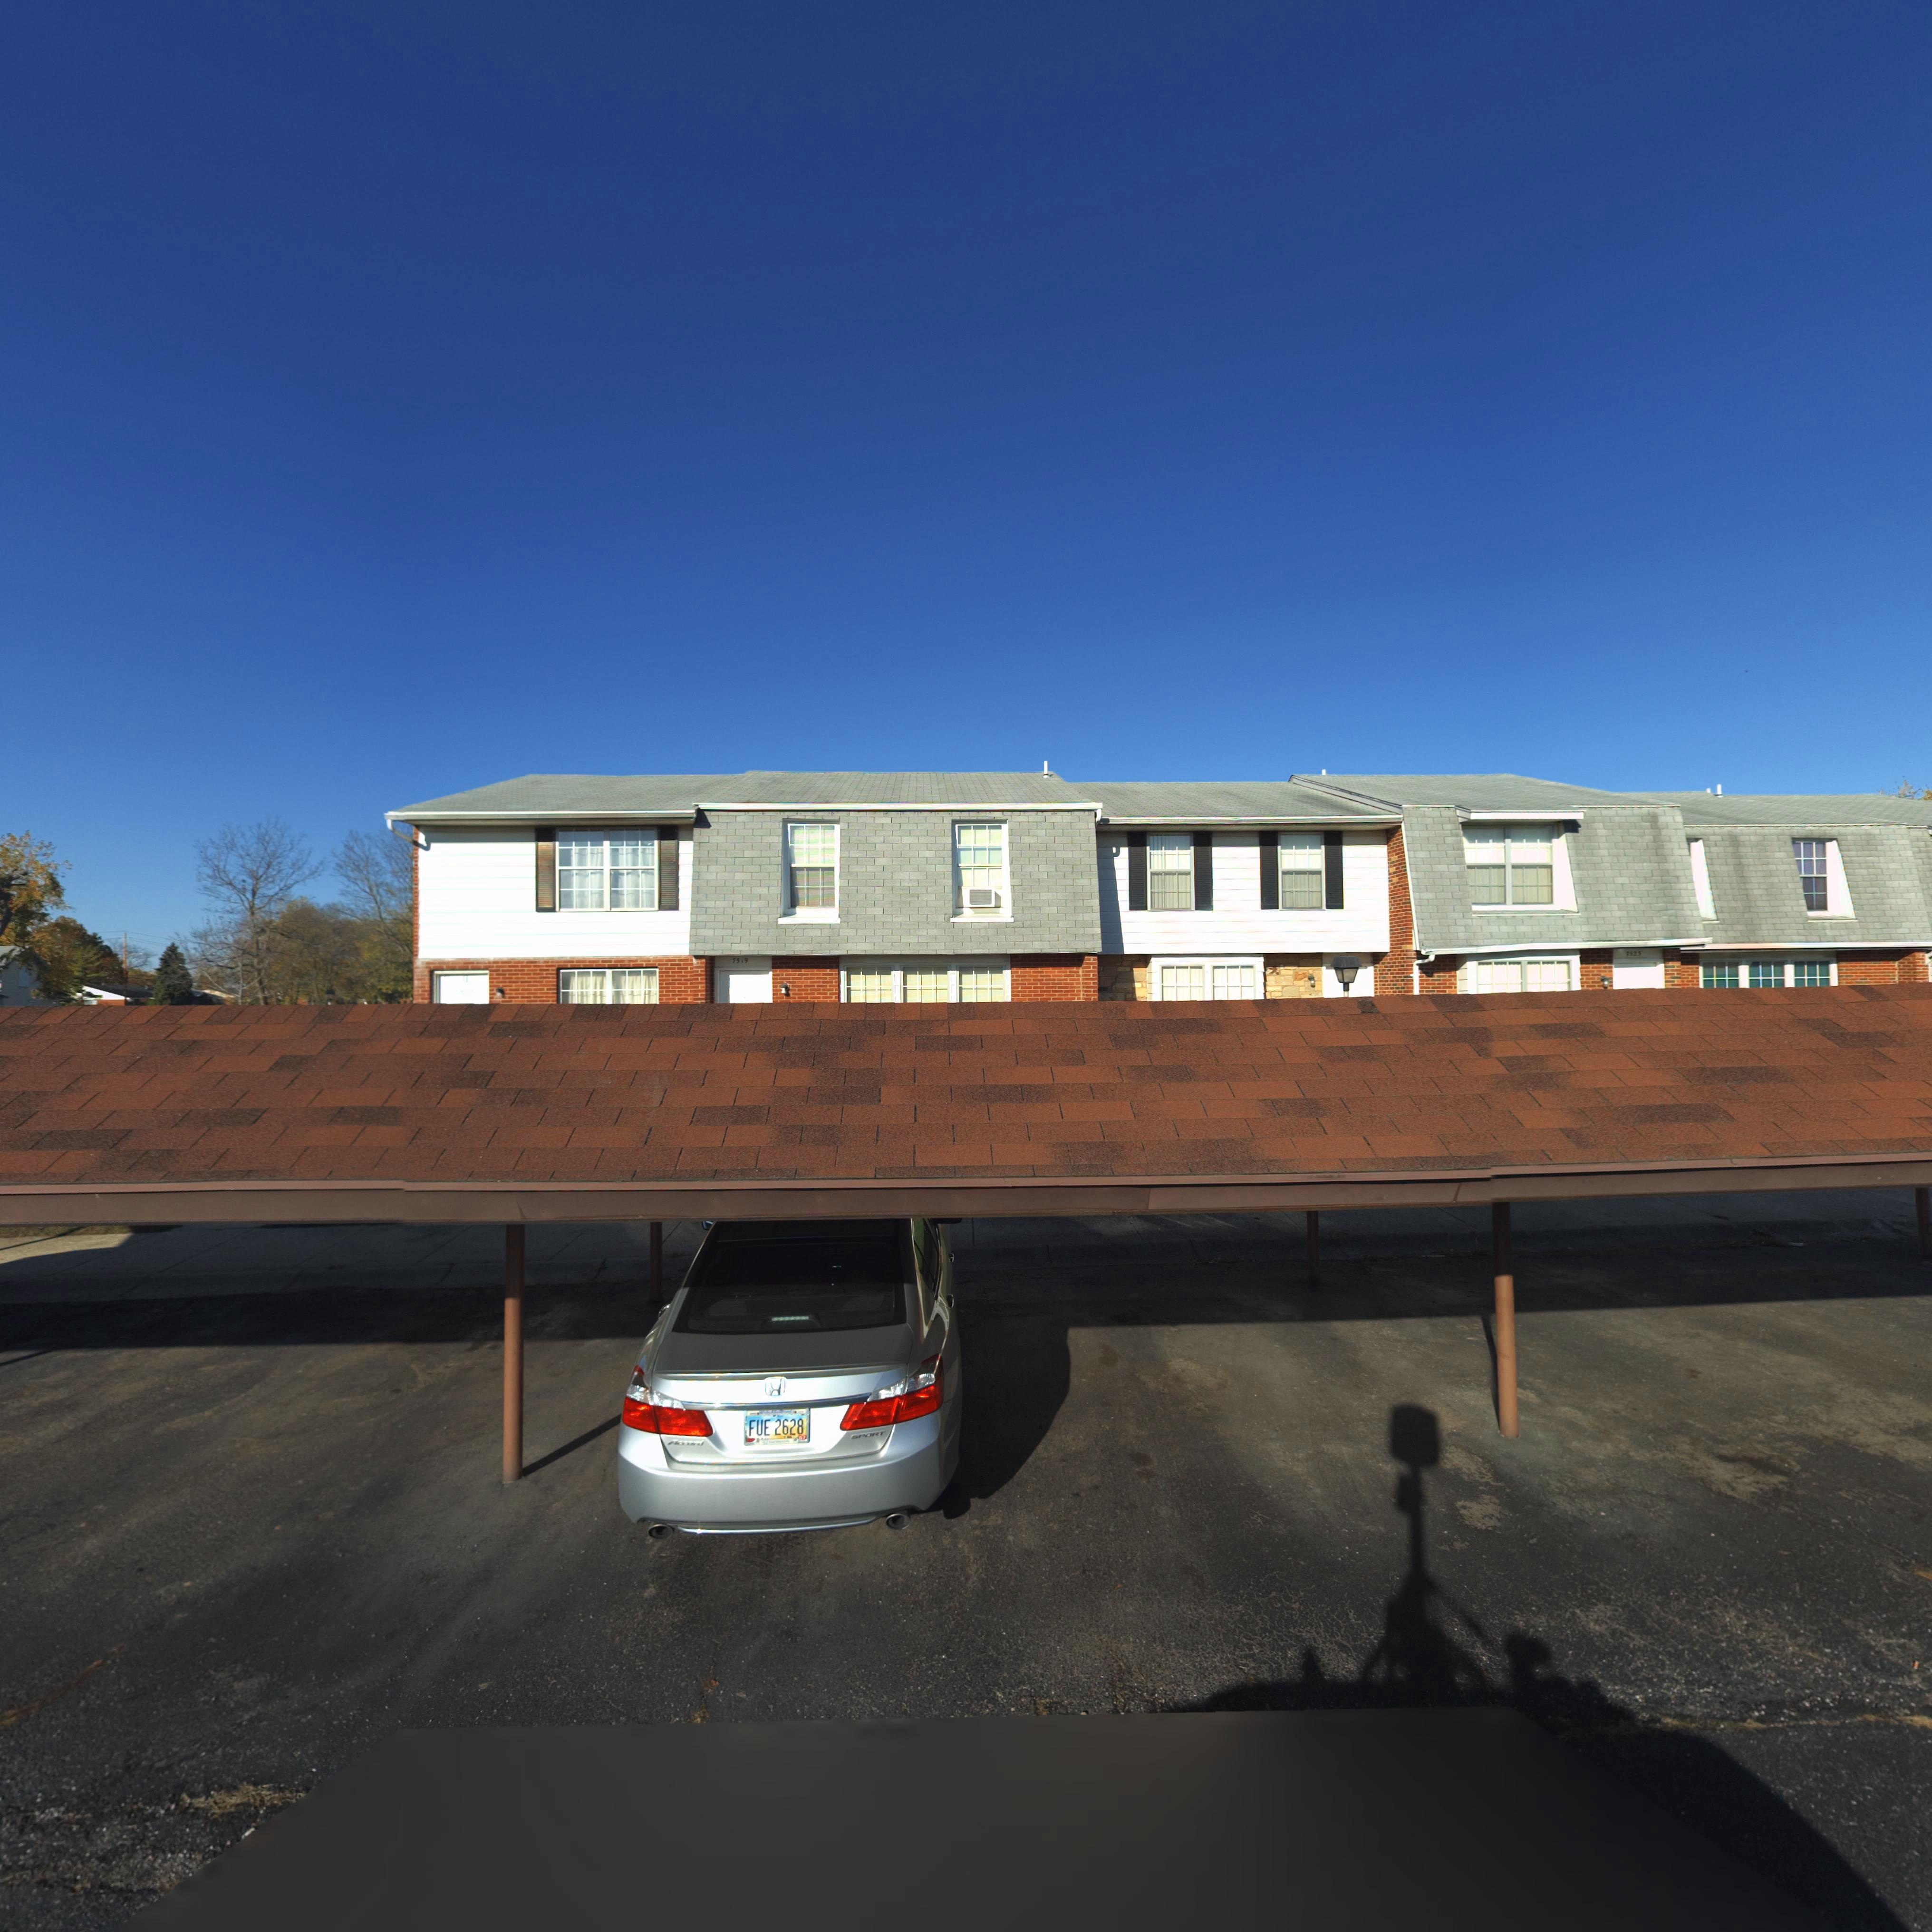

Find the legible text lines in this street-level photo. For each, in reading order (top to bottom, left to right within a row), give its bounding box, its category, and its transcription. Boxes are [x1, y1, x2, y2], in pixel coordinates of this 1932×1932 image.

[1626, 950, 1642, 957] StreetNumber: 7525
[732, 957, 748, 964] StreetNumber: 7519